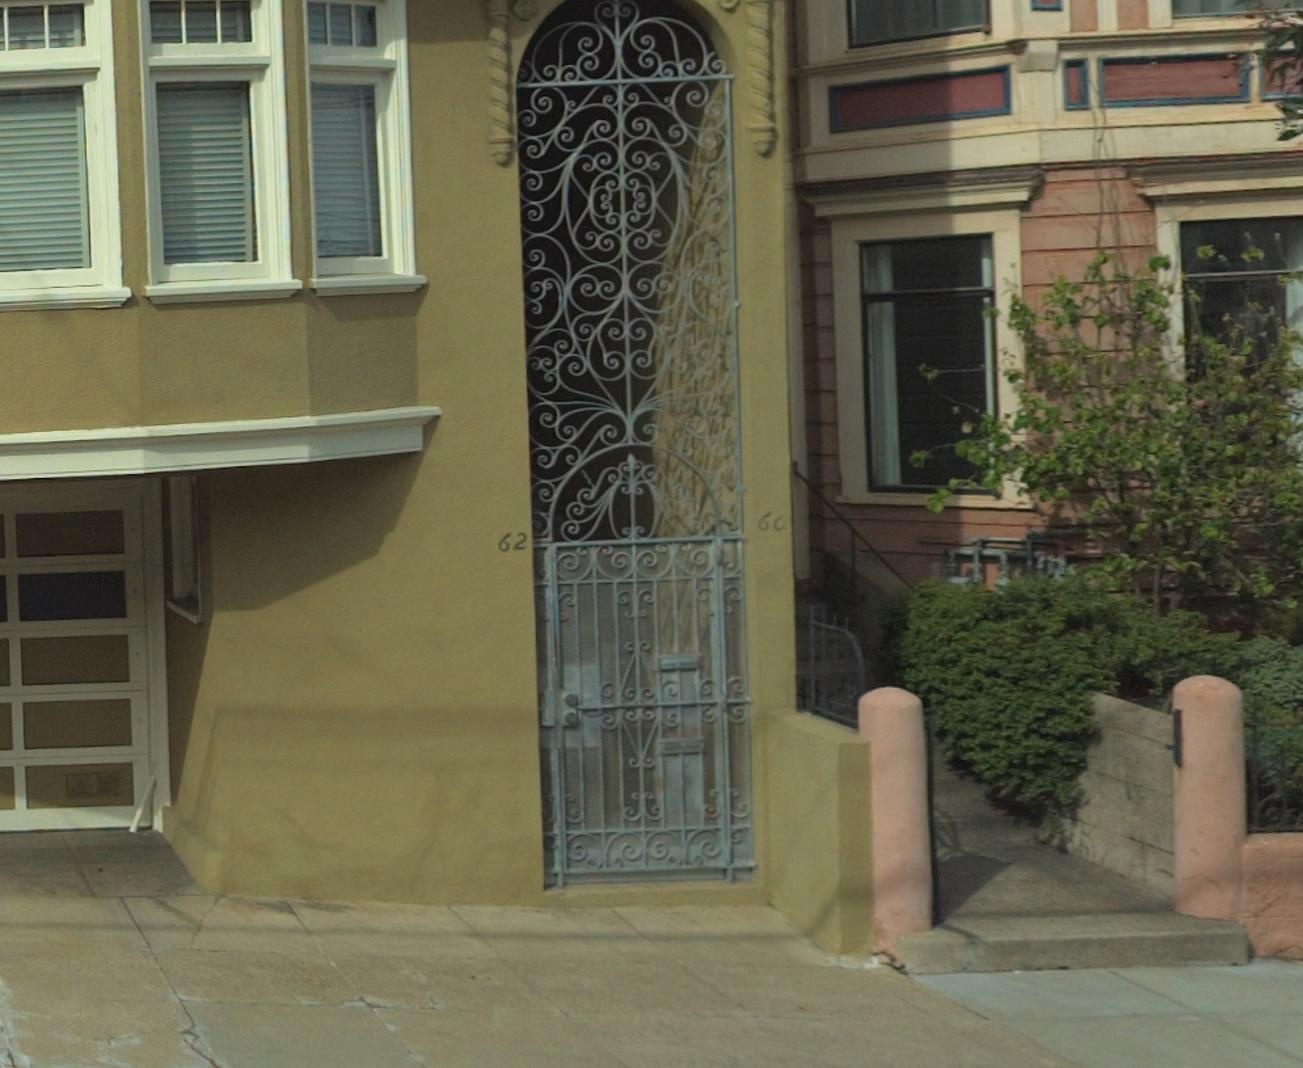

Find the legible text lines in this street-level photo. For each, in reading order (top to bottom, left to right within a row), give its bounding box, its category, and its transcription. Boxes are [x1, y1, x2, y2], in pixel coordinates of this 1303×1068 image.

[757, 511, 786, 532] StreetNumber: 60
[497, 531, 529, 553] StreetNumber: 62